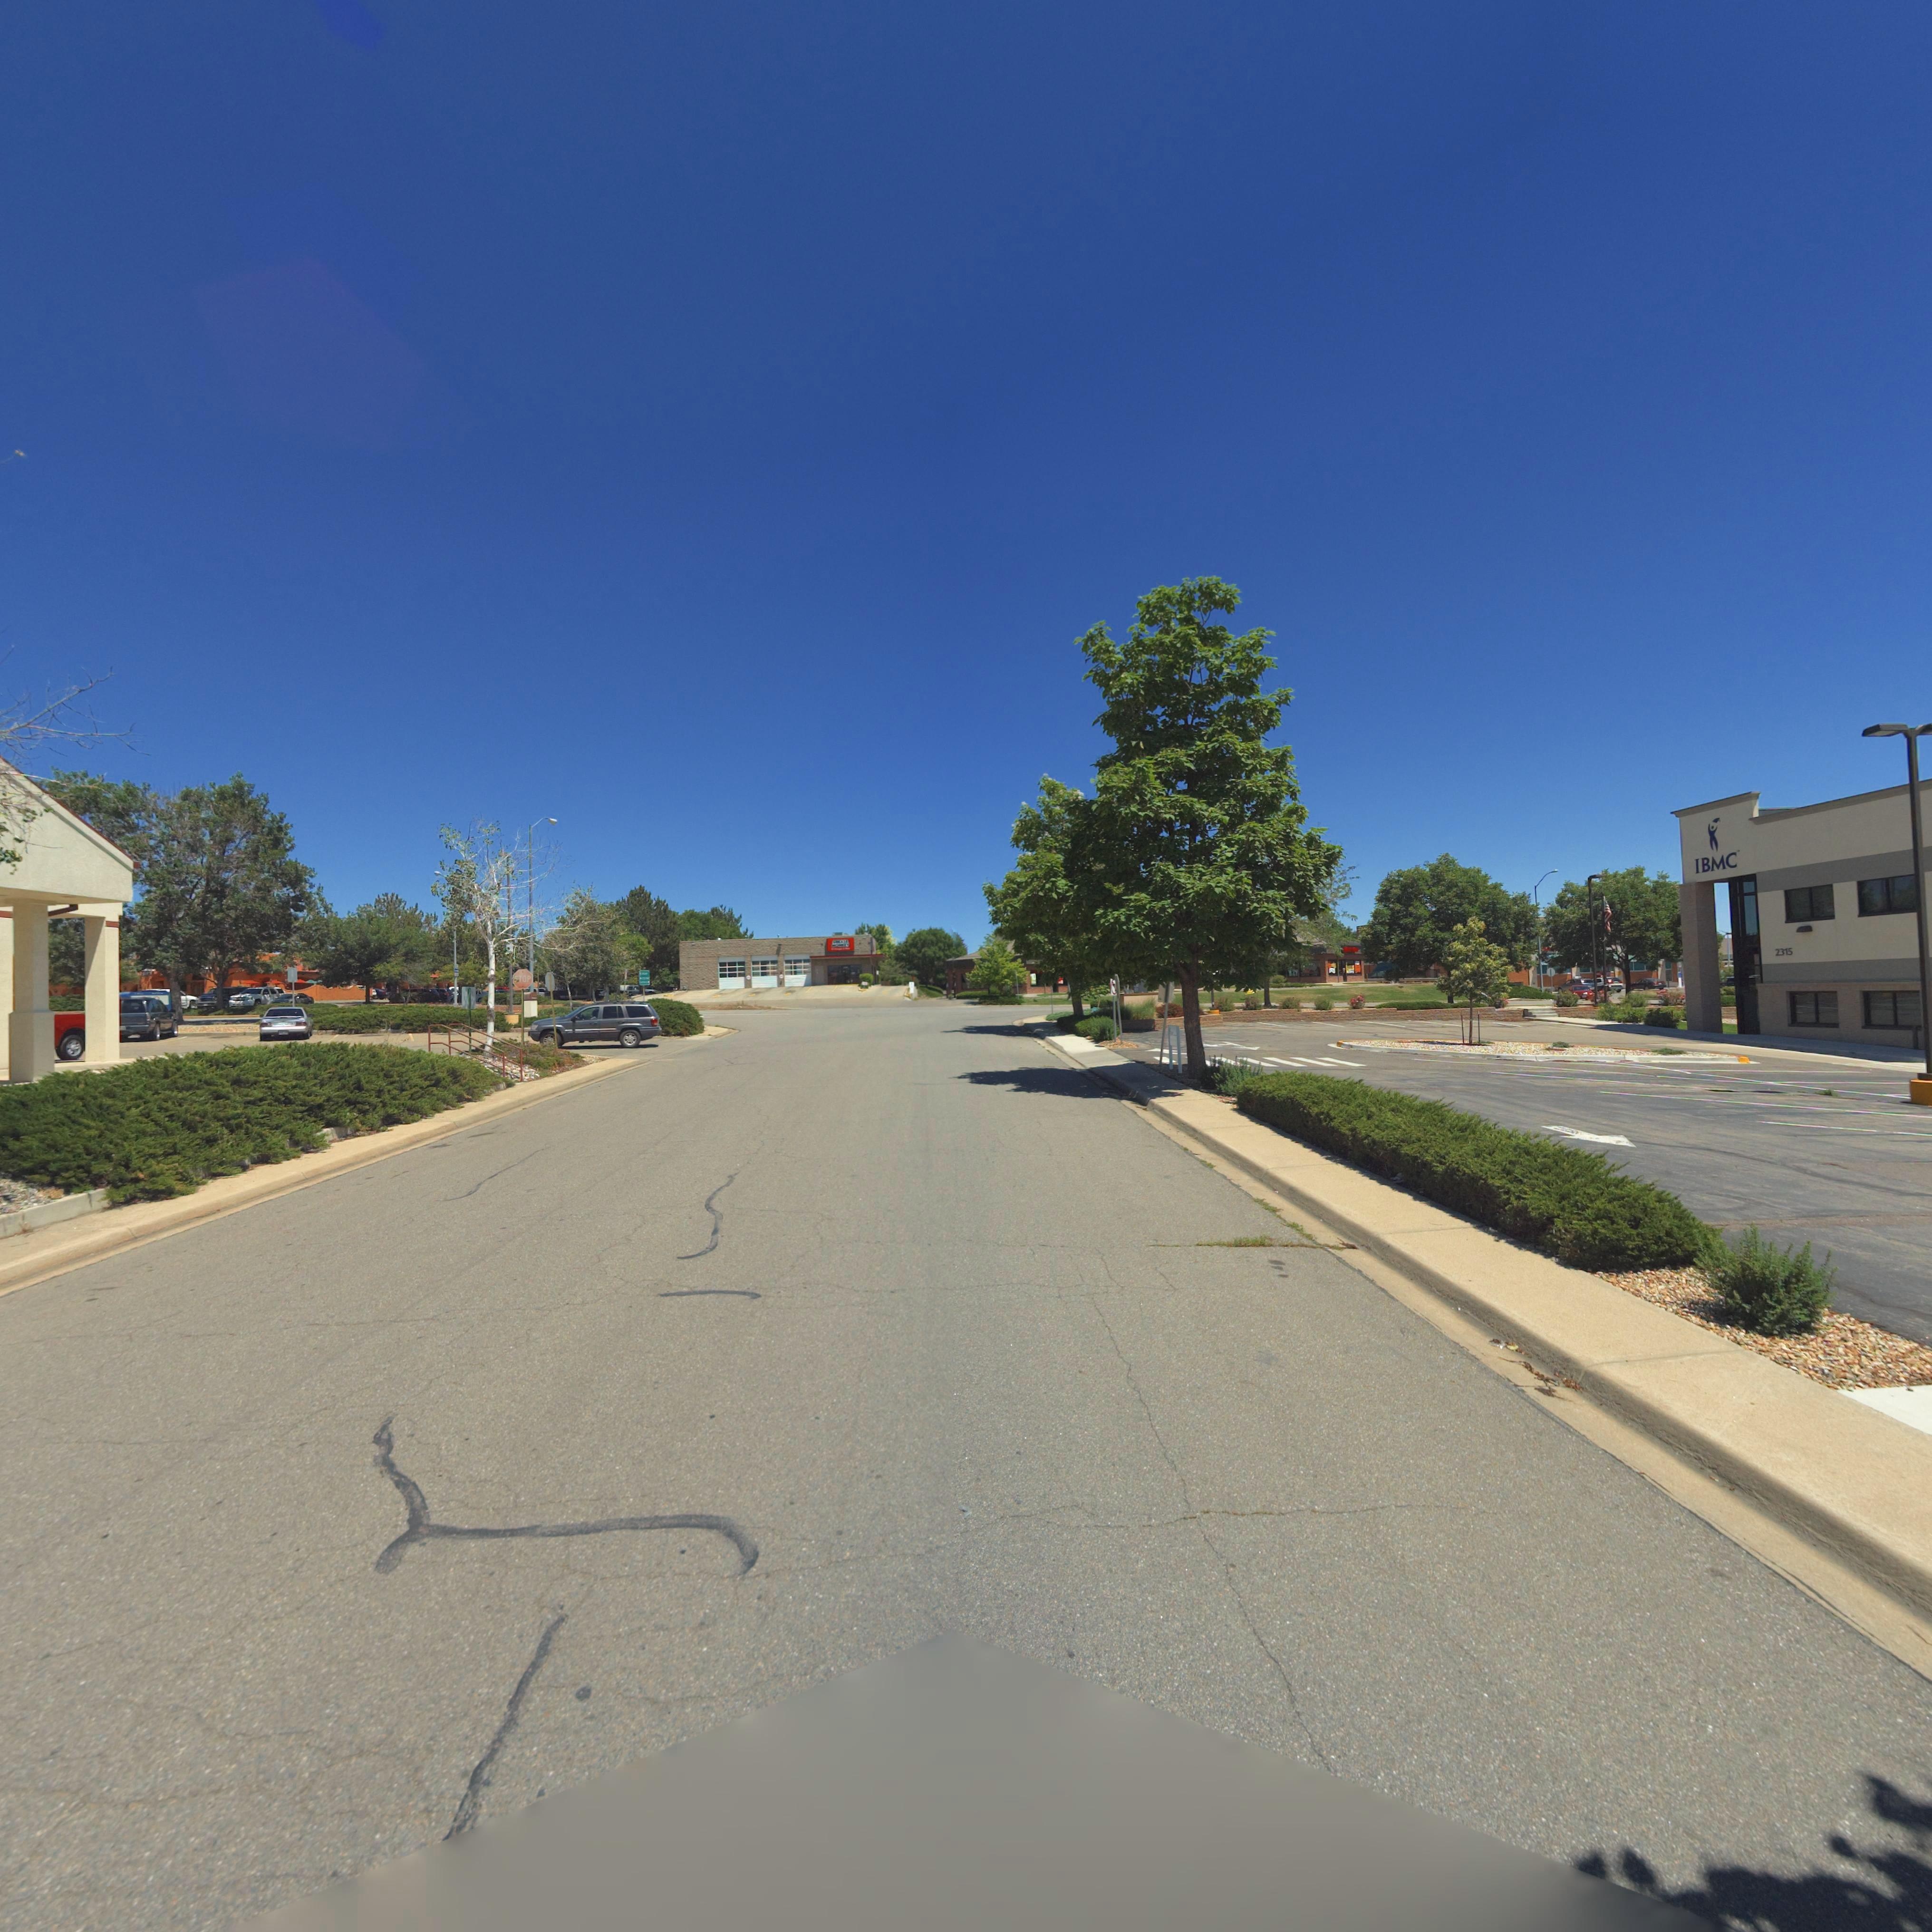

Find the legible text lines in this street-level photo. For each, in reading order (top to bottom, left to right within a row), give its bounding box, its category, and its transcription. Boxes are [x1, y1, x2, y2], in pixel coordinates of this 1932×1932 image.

[1694, 851, 1738, 874] BusinessName: IBMC
[831, 943, 849, 947] BusinessName: MO***Y
[832, 939, 848, 943] BusinessName: G****E
[1775, 947, 1793, 956] StreetNumber: 2315